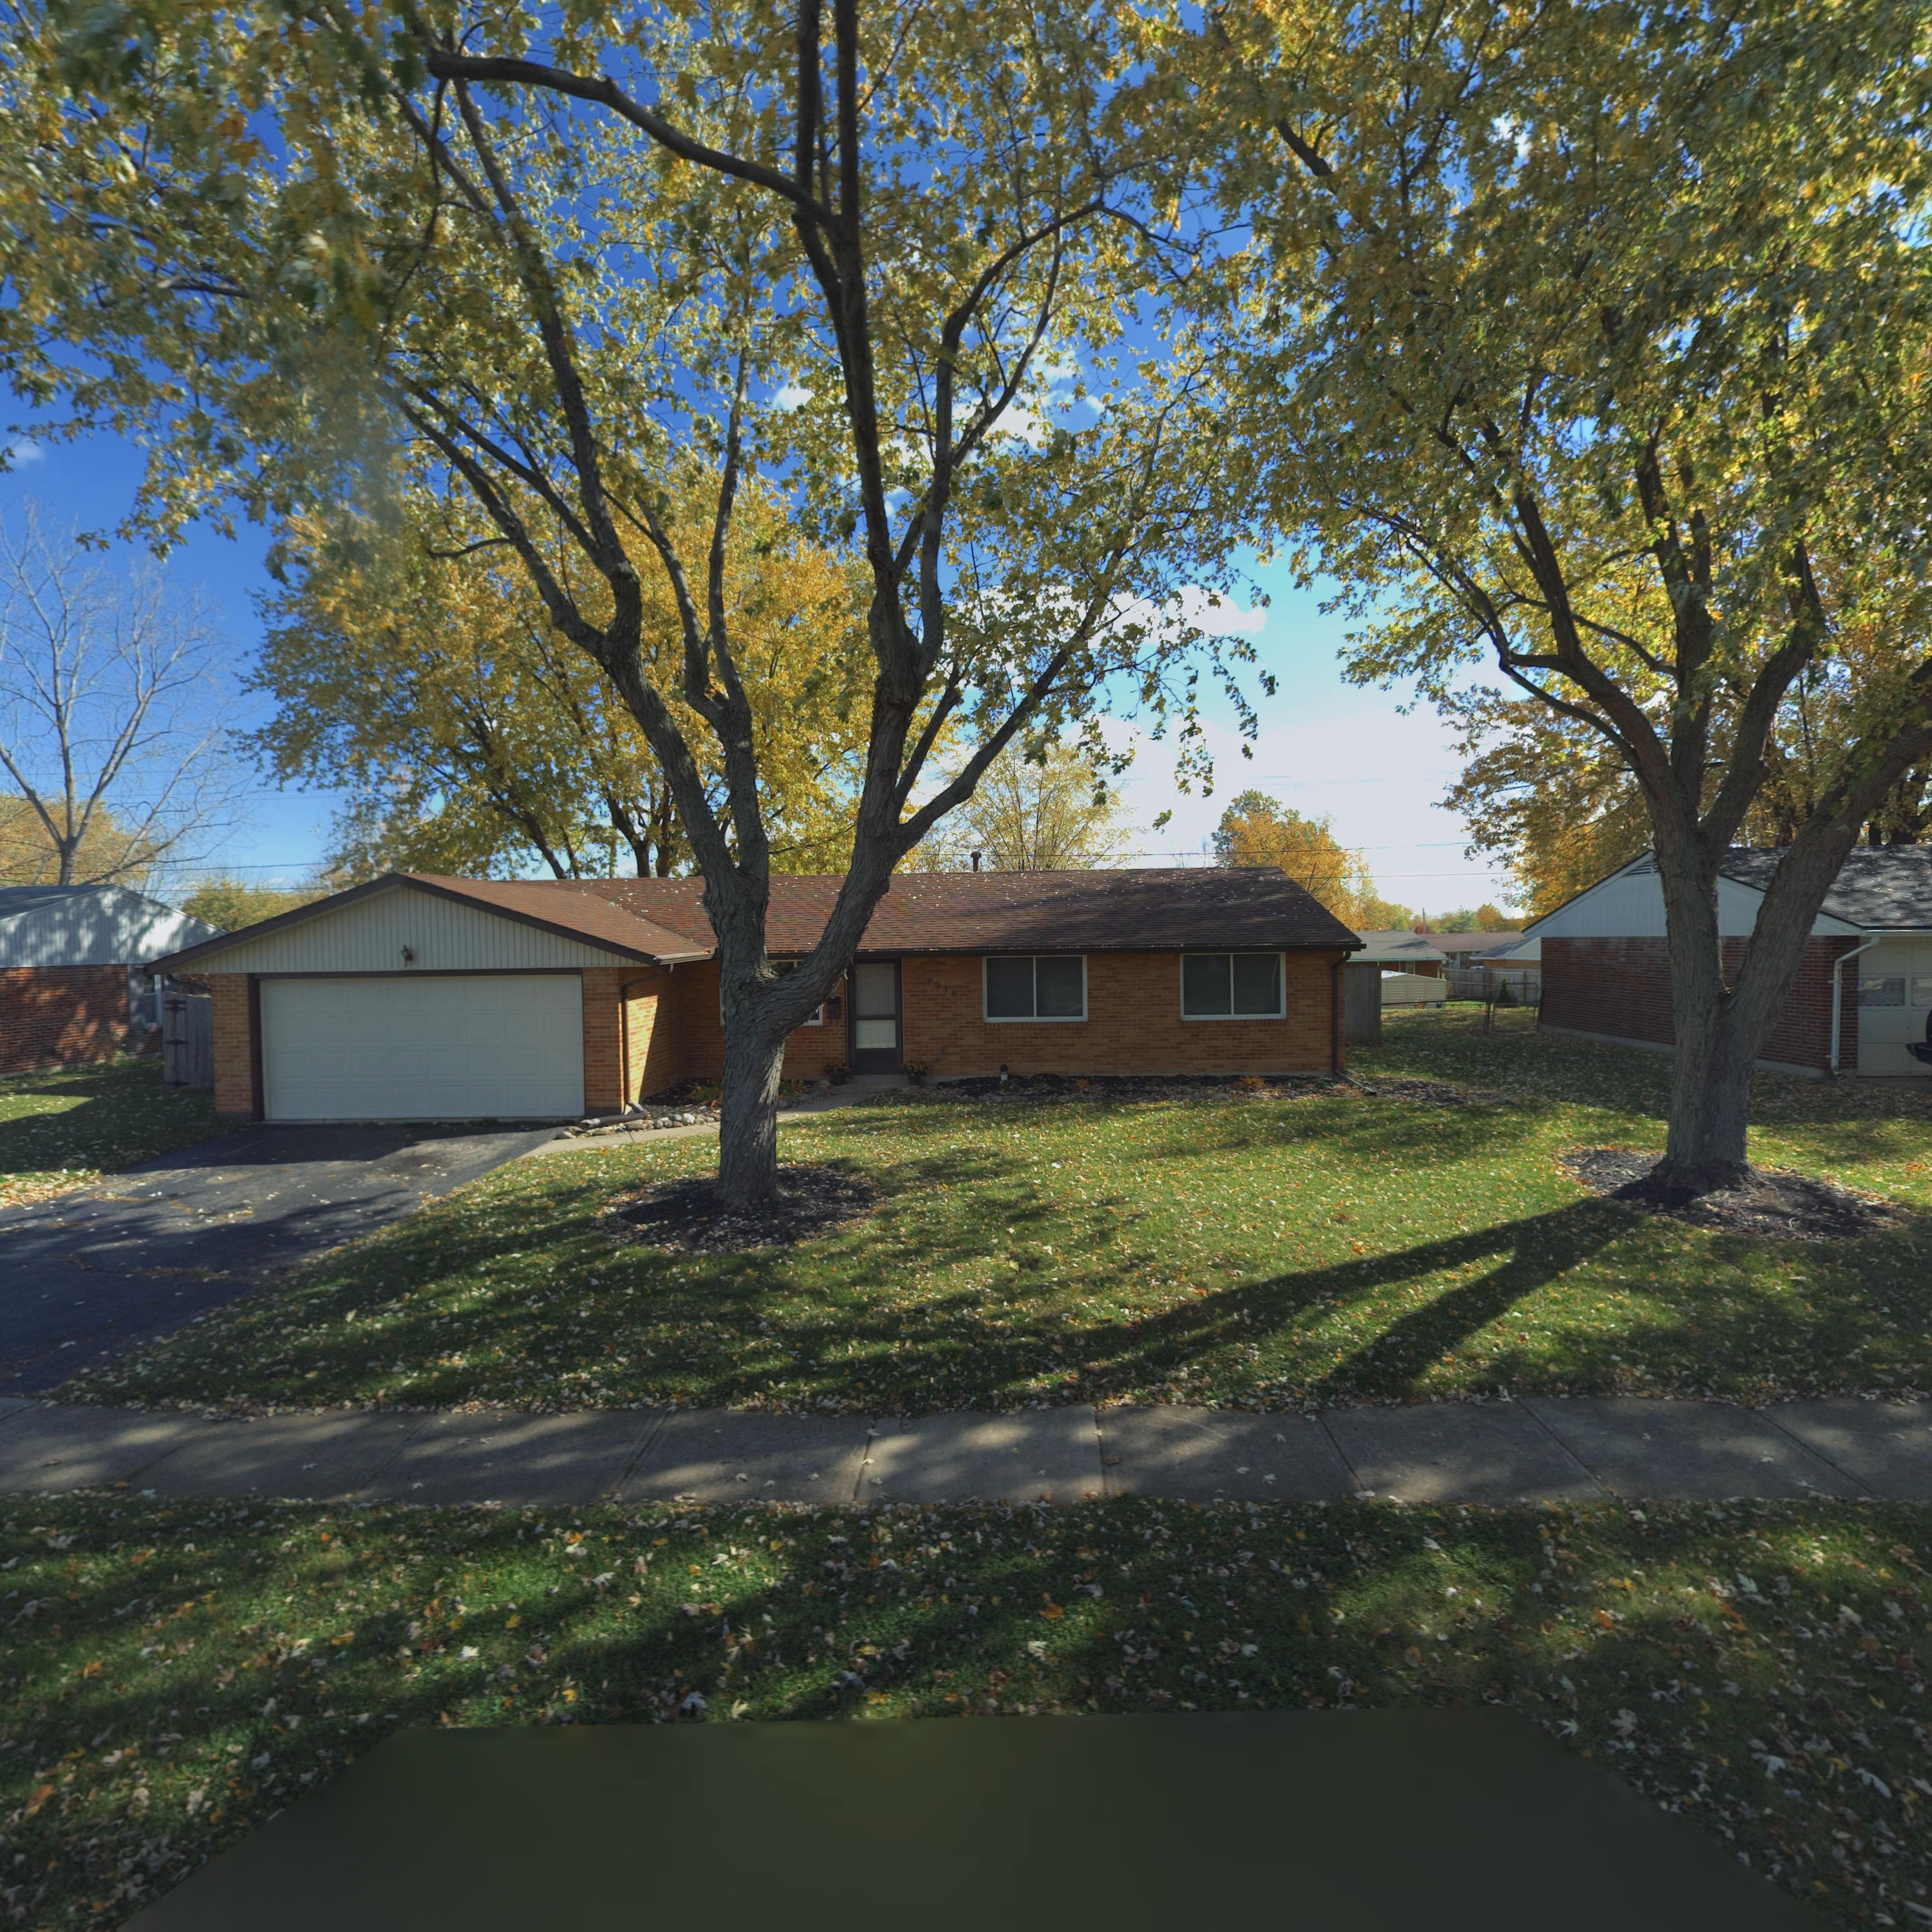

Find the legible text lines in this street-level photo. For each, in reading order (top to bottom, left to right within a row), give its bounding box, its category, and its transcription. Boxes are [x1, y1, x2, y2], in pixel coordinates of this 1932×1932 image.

[926, 977, 958, 998] StreetNumber: 771*